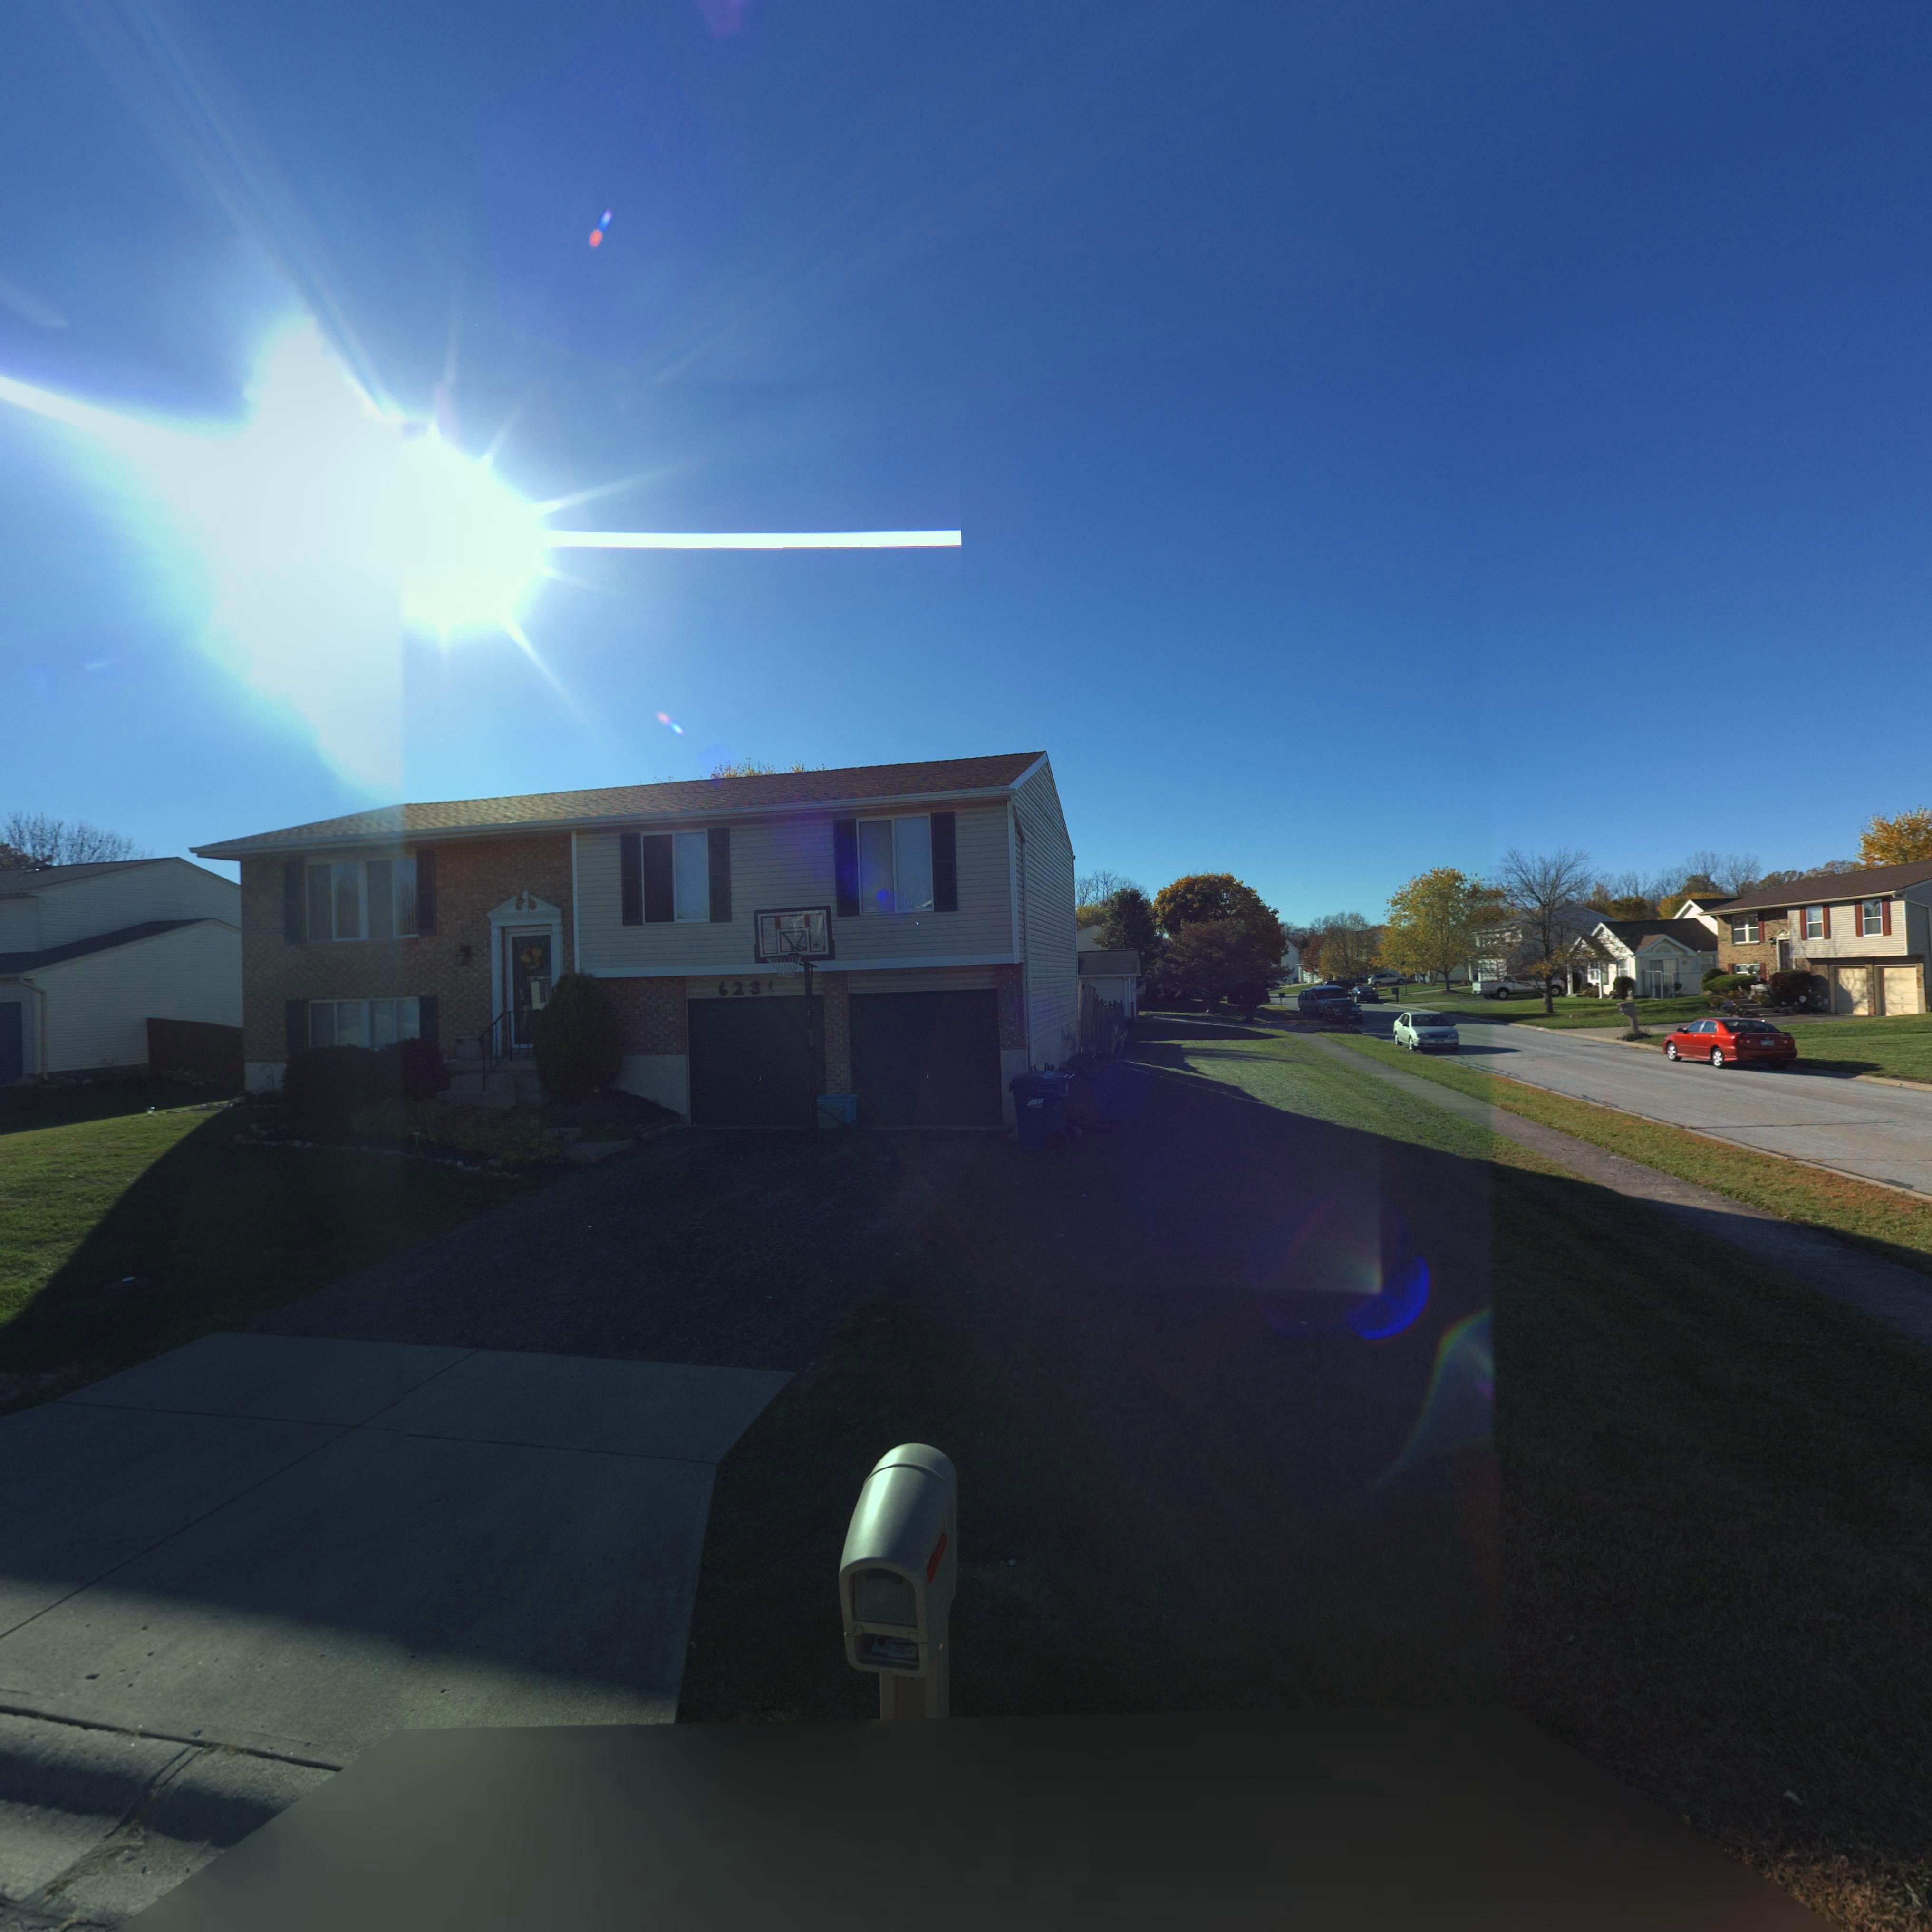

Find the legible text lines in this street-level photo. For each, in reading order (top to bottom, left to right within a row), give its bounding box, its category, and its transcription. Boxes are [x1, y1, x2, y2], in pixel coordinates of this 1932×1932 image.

[716, 979, 774, 998] StreetNumber: 623*